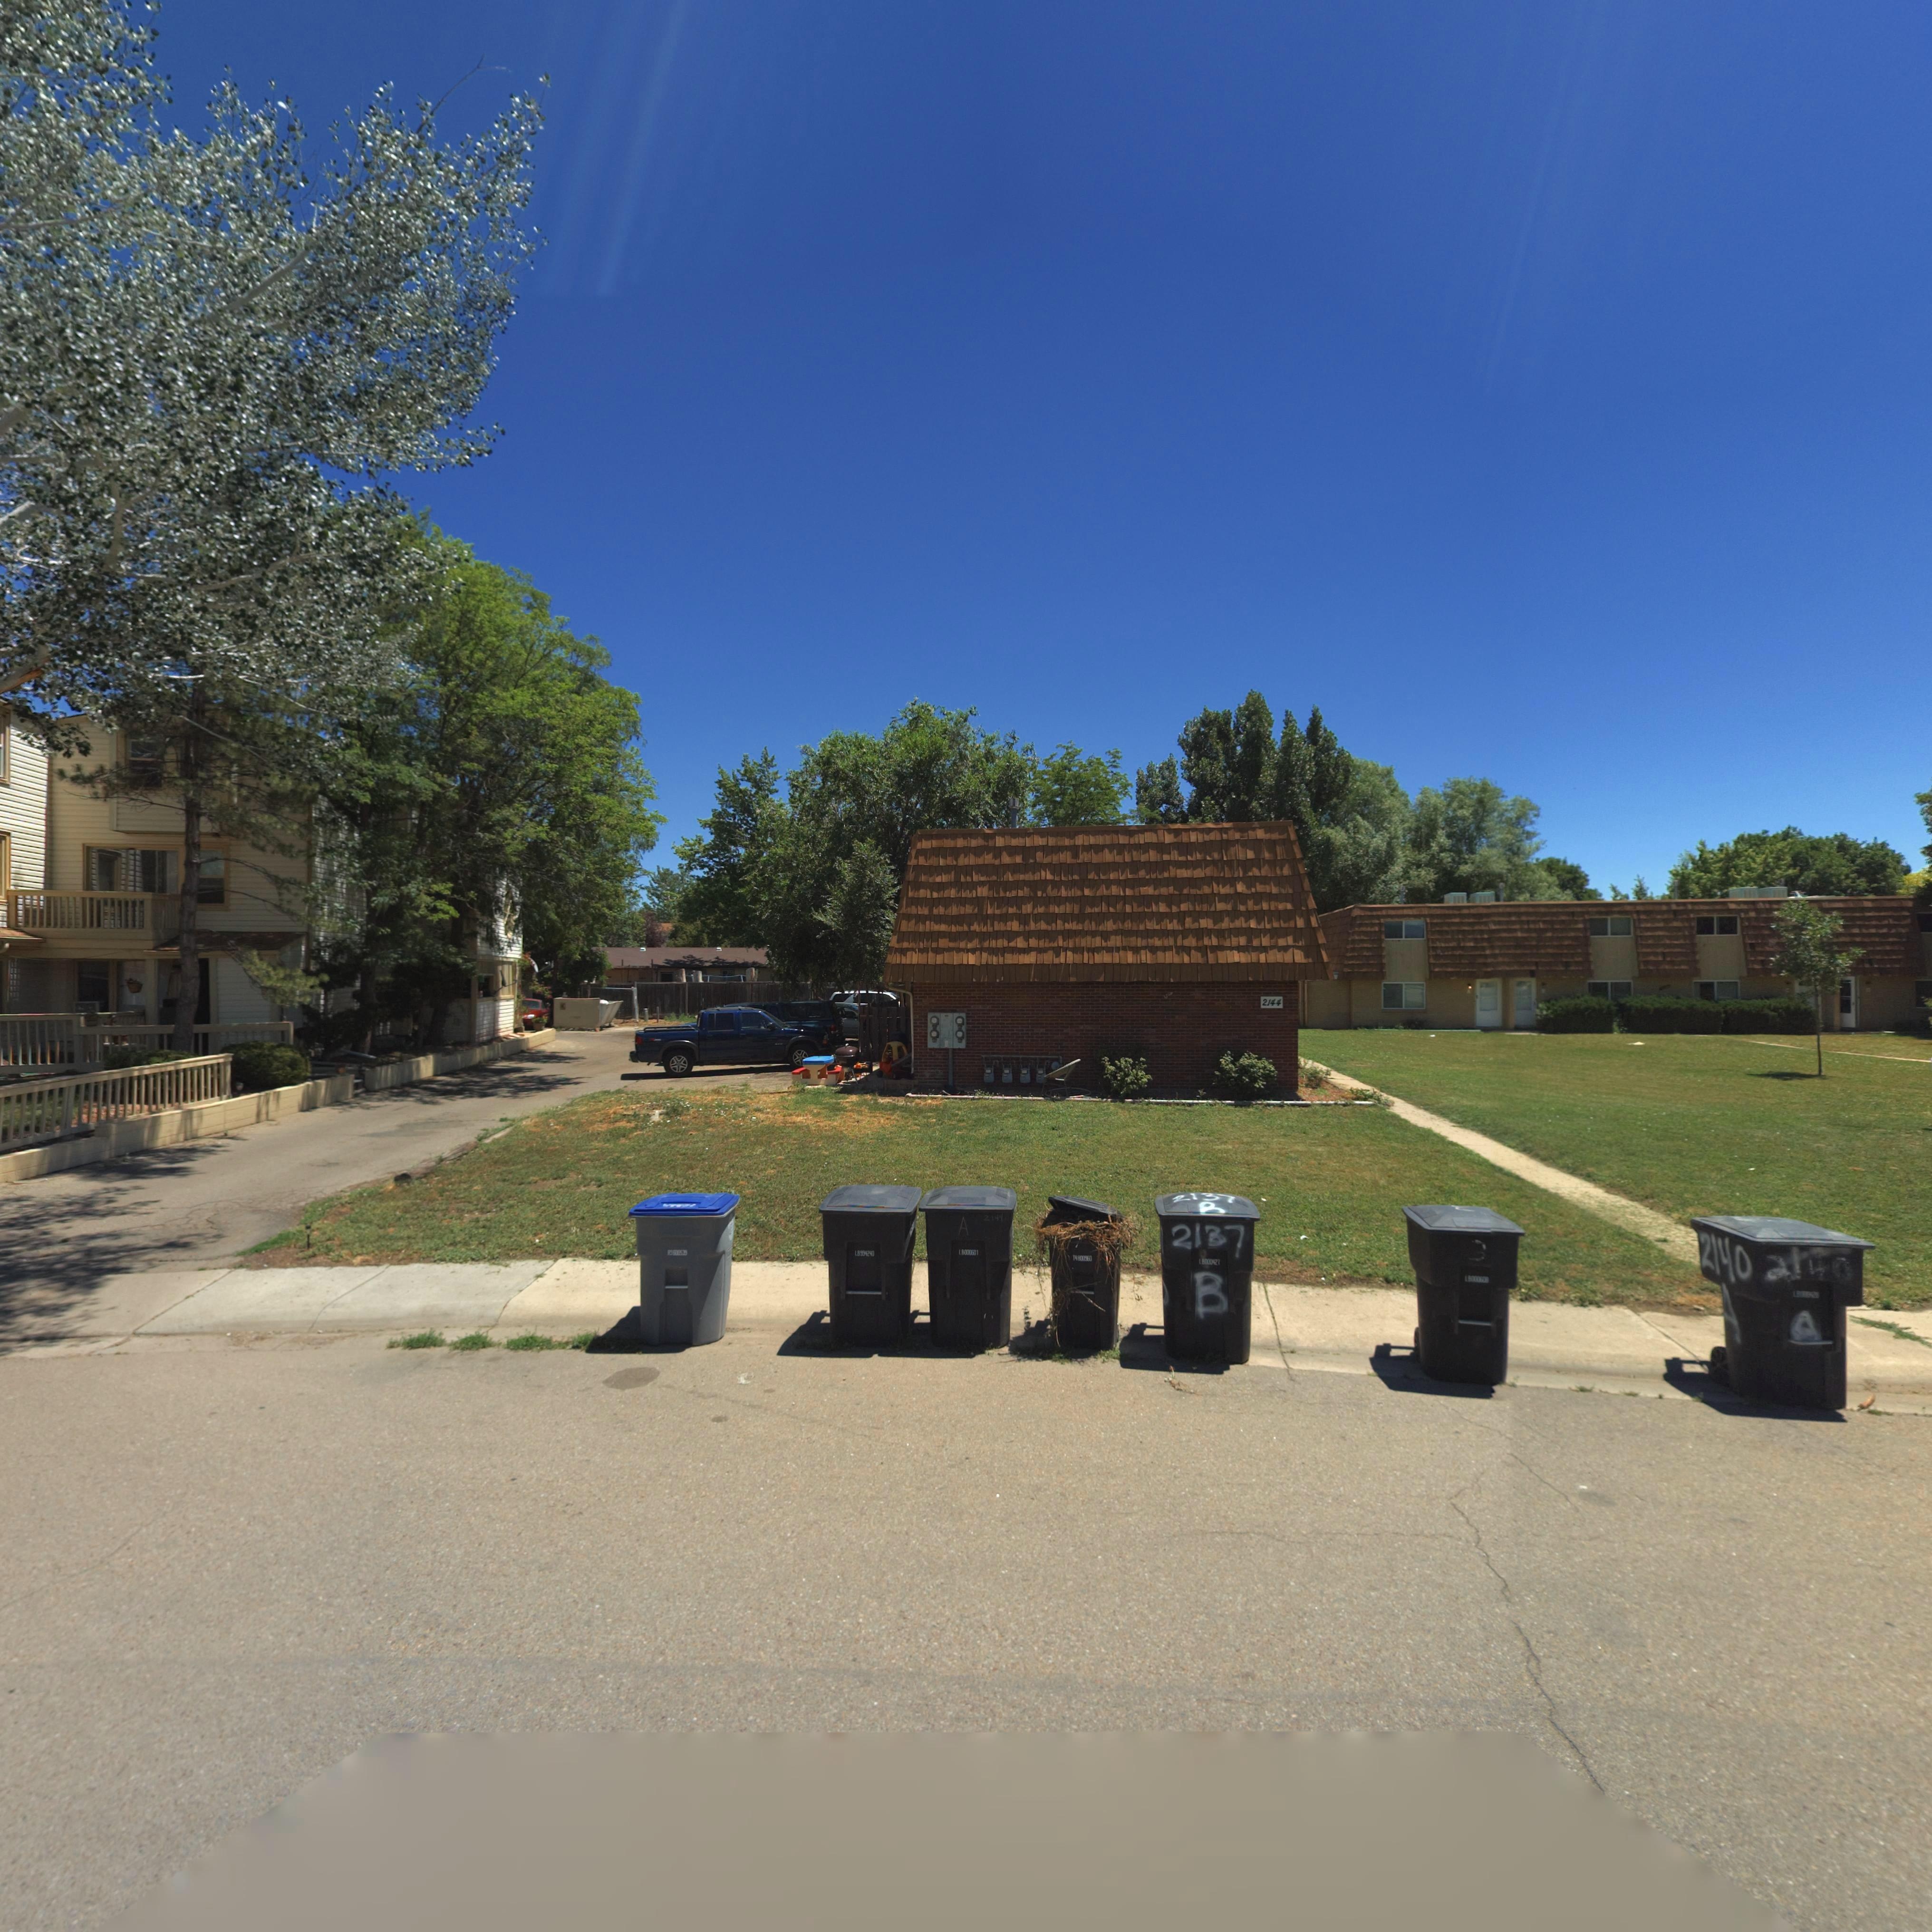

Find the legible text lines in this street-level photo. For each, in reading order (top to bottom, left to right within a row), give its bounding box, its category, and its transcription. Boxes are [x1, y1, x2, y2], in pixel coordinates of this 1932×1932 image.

[1262, 998, 1281, 1006] StreetNumber: 2144
[1172, 1192, 1235, 1203] StreetNumber: 2137
[983, 1214, 1003, 1221] StreetNumber: 2144
[1170, 1222, 1245, 1249] StreetNumber: 2137
[1700, 1231, 1753, 1285] StreetNumber: 2140
[1765, 1251, 1853, 1281] StreetNumber: 2140